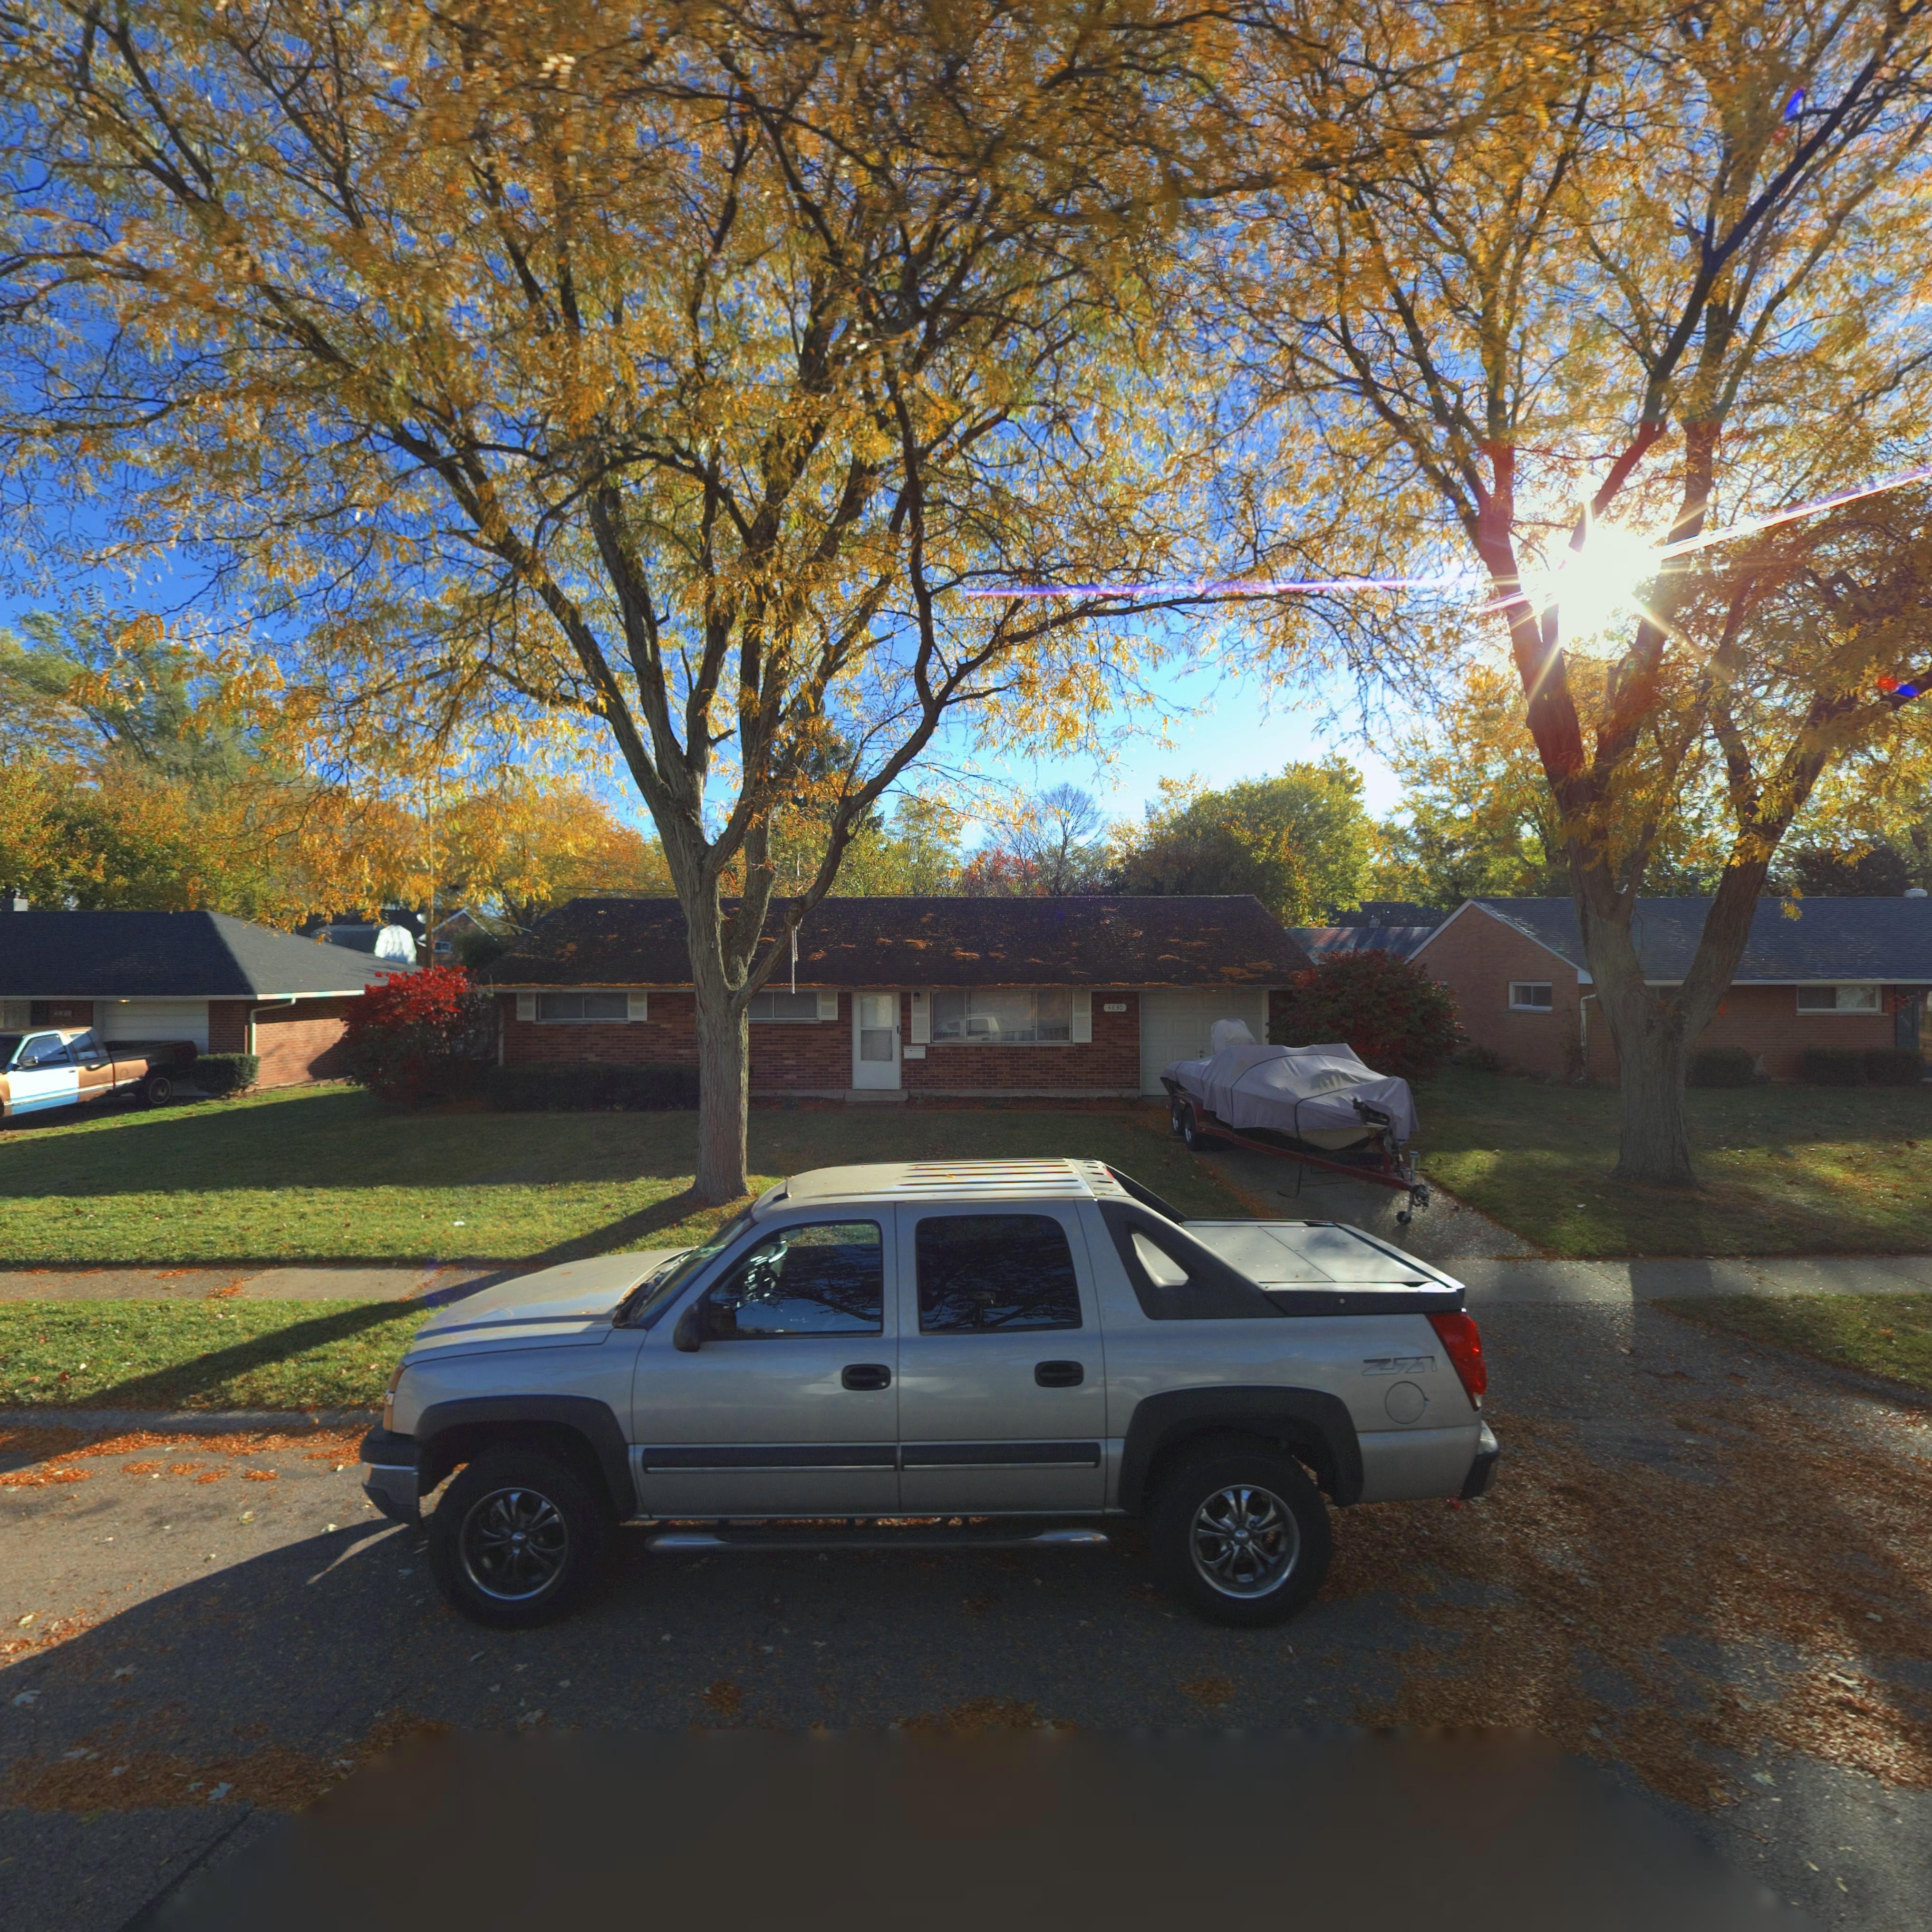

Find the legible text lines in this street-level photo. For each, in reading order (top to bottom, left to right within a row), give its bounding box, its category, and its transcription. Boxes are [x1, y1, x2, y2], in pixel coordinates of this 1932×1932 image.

[1107, 1004, 1124, 1011] StreetNumber: 4830